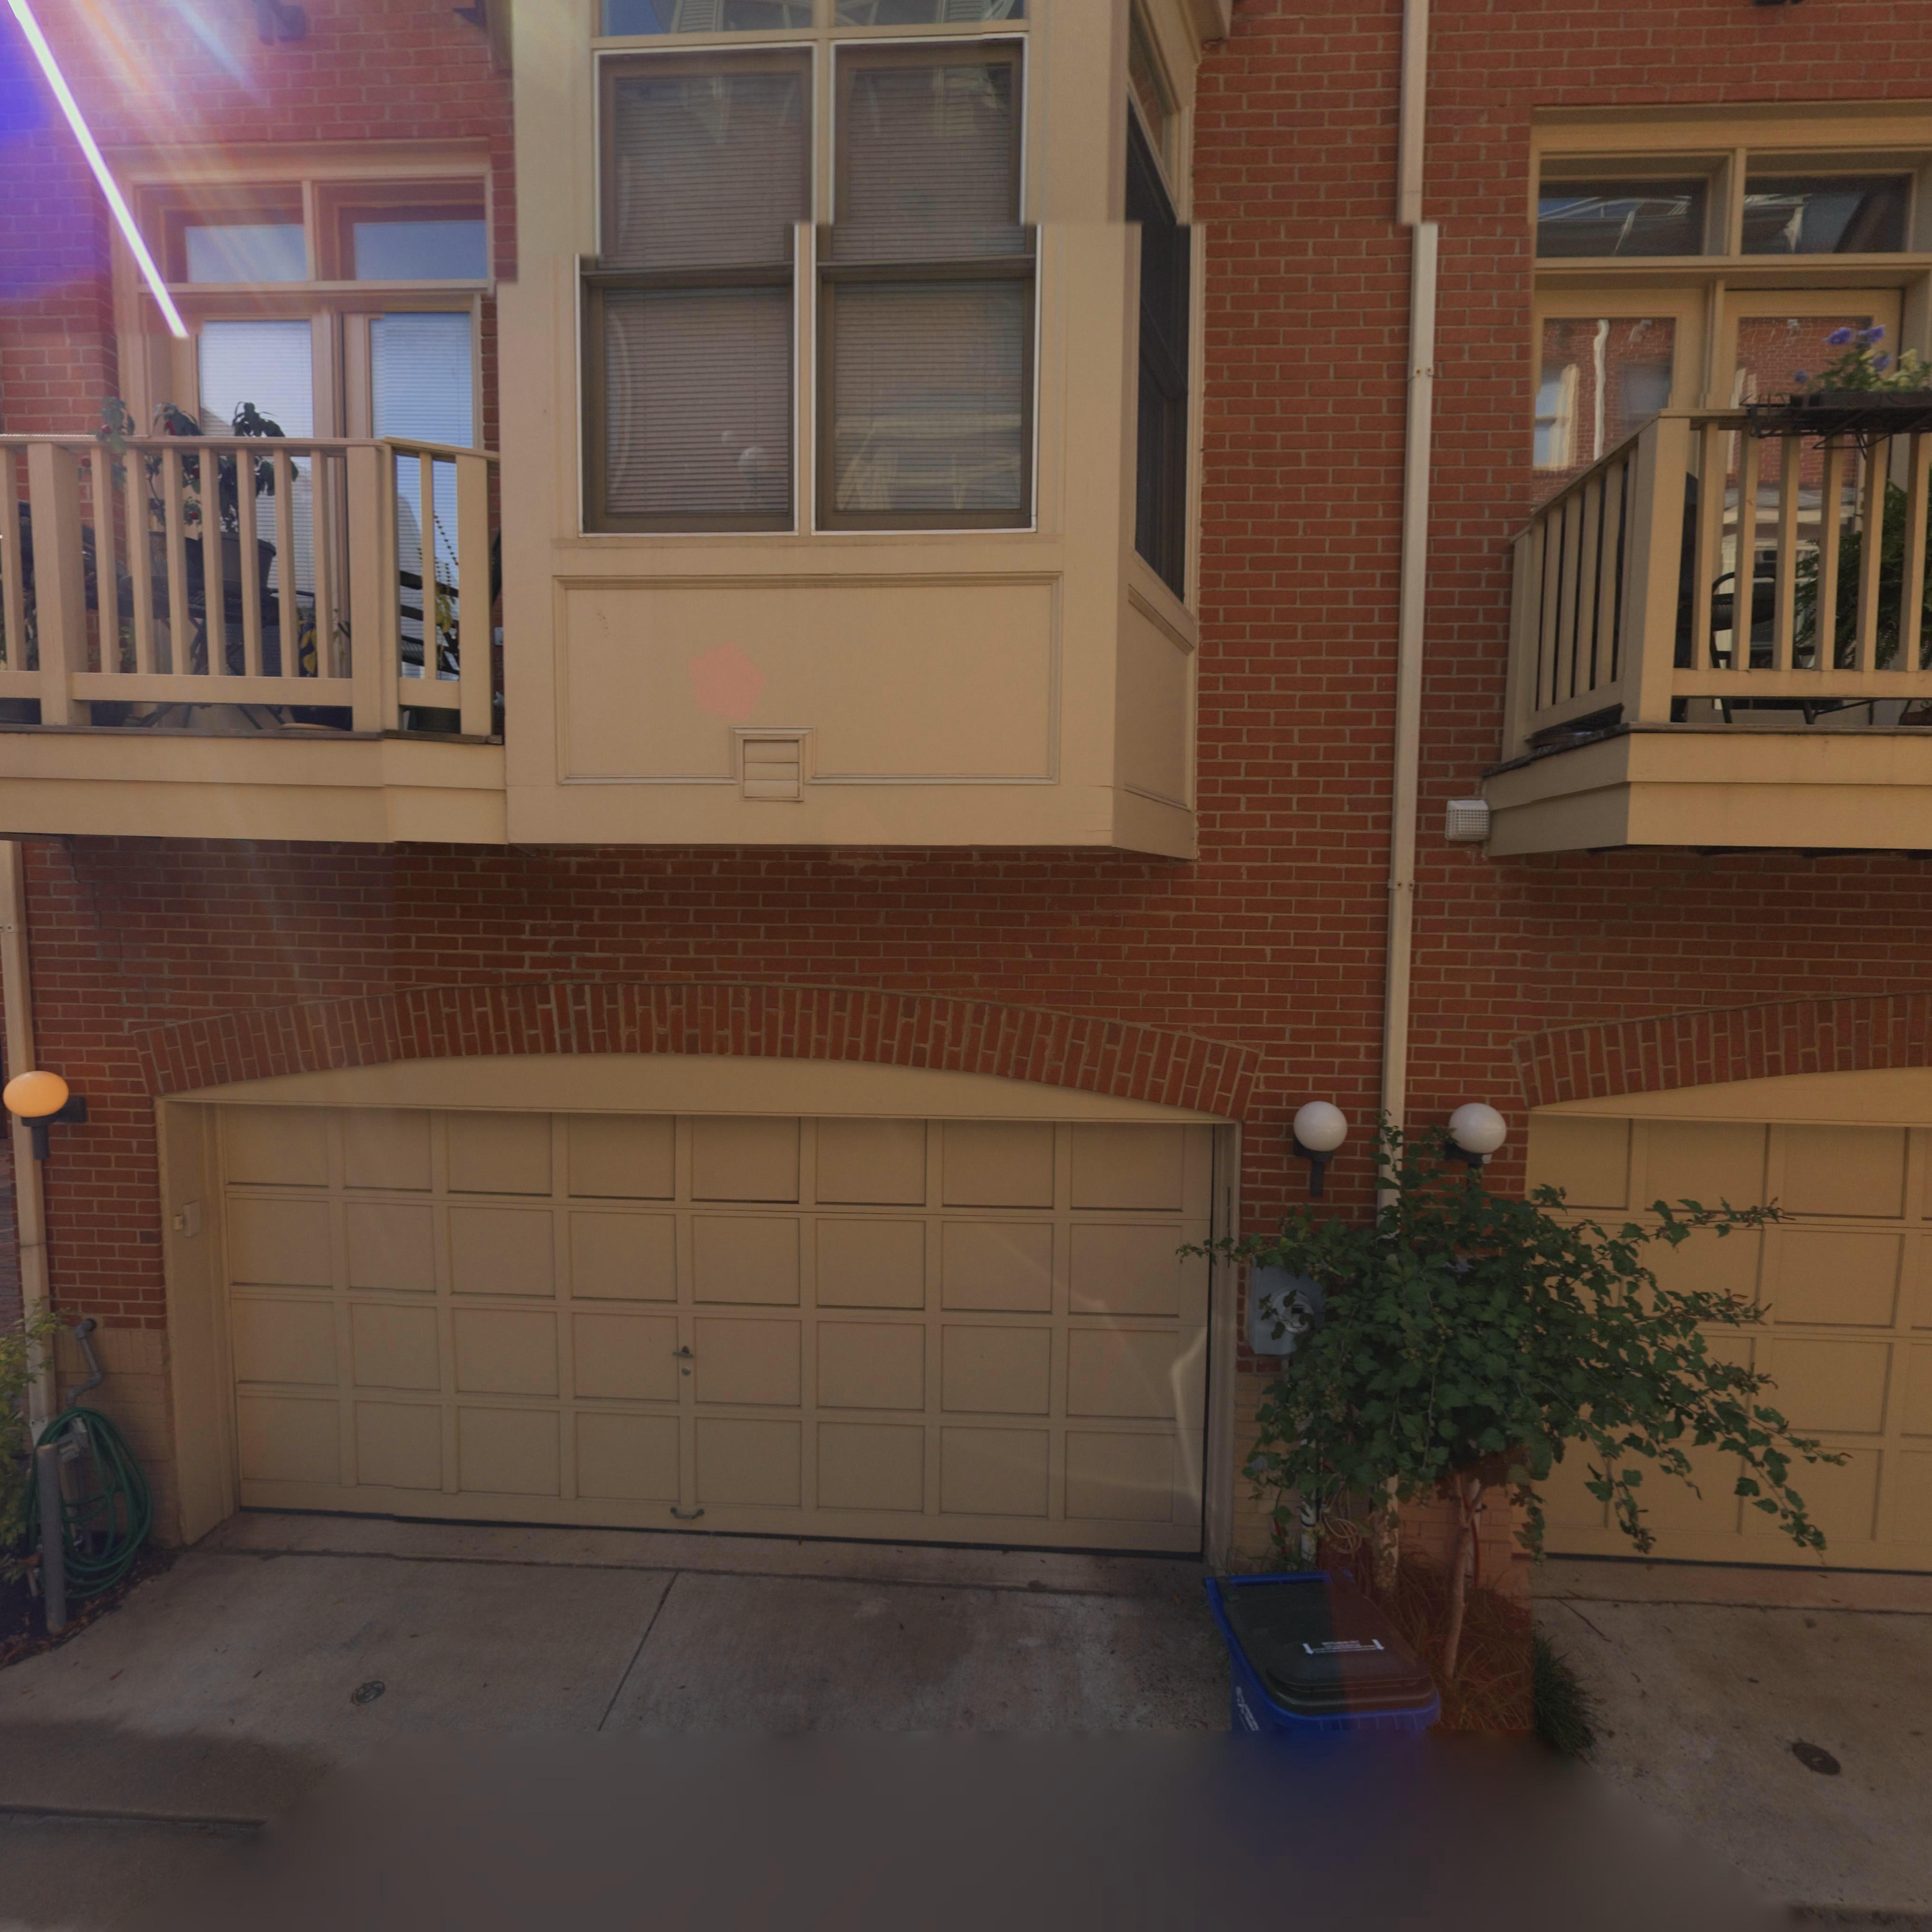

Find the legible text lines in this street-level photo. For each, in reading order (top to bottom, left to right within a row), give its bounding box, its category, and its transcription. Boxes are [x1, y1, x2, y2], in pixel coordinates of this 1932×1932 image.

[1226, 1183, 1233, 1230] StreetNumber: 11